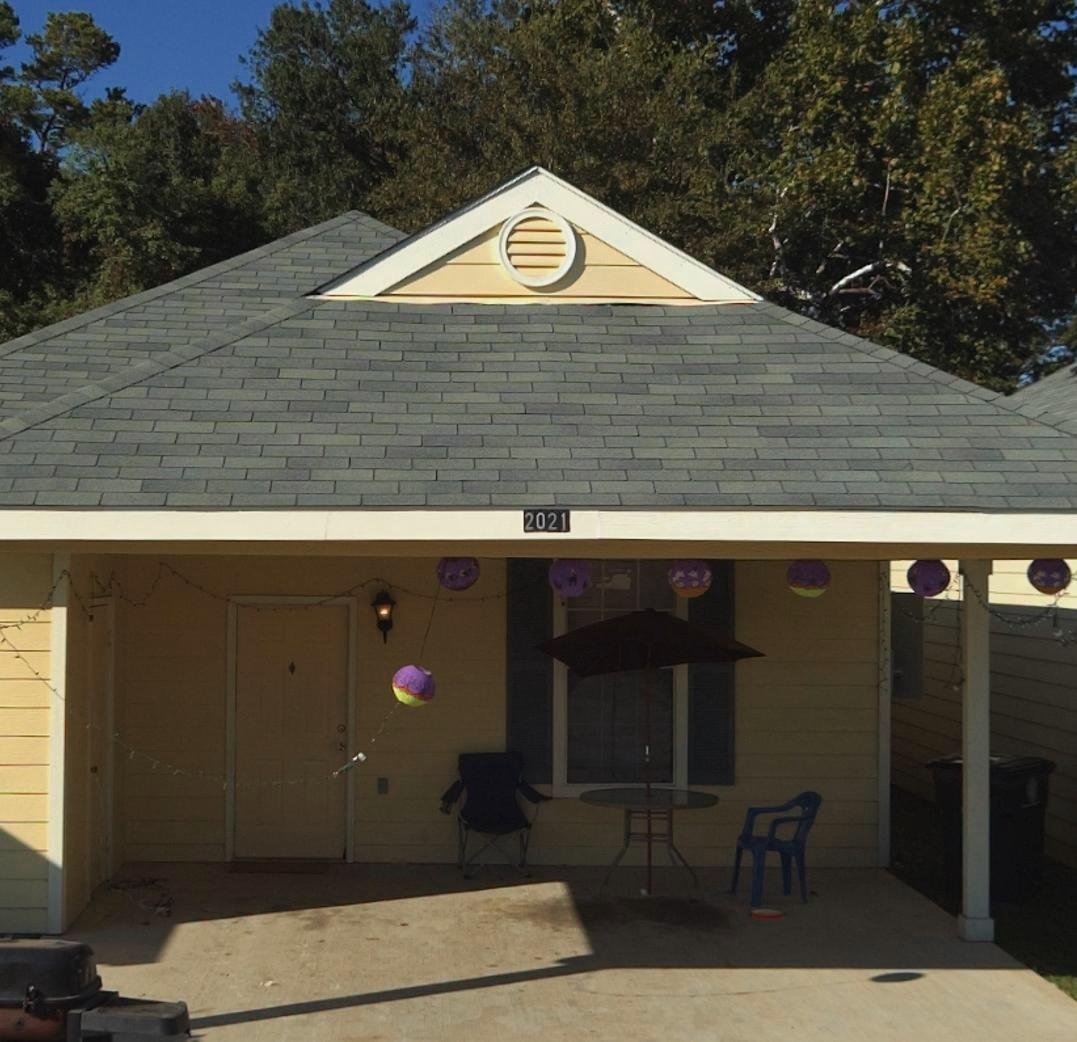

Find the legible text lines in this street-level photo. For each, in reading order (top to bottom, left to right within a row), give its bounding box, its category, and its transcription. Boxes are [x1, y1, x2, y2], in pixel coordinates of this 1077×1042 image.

[524, 510, 568, 531] StreetNumber: 2021